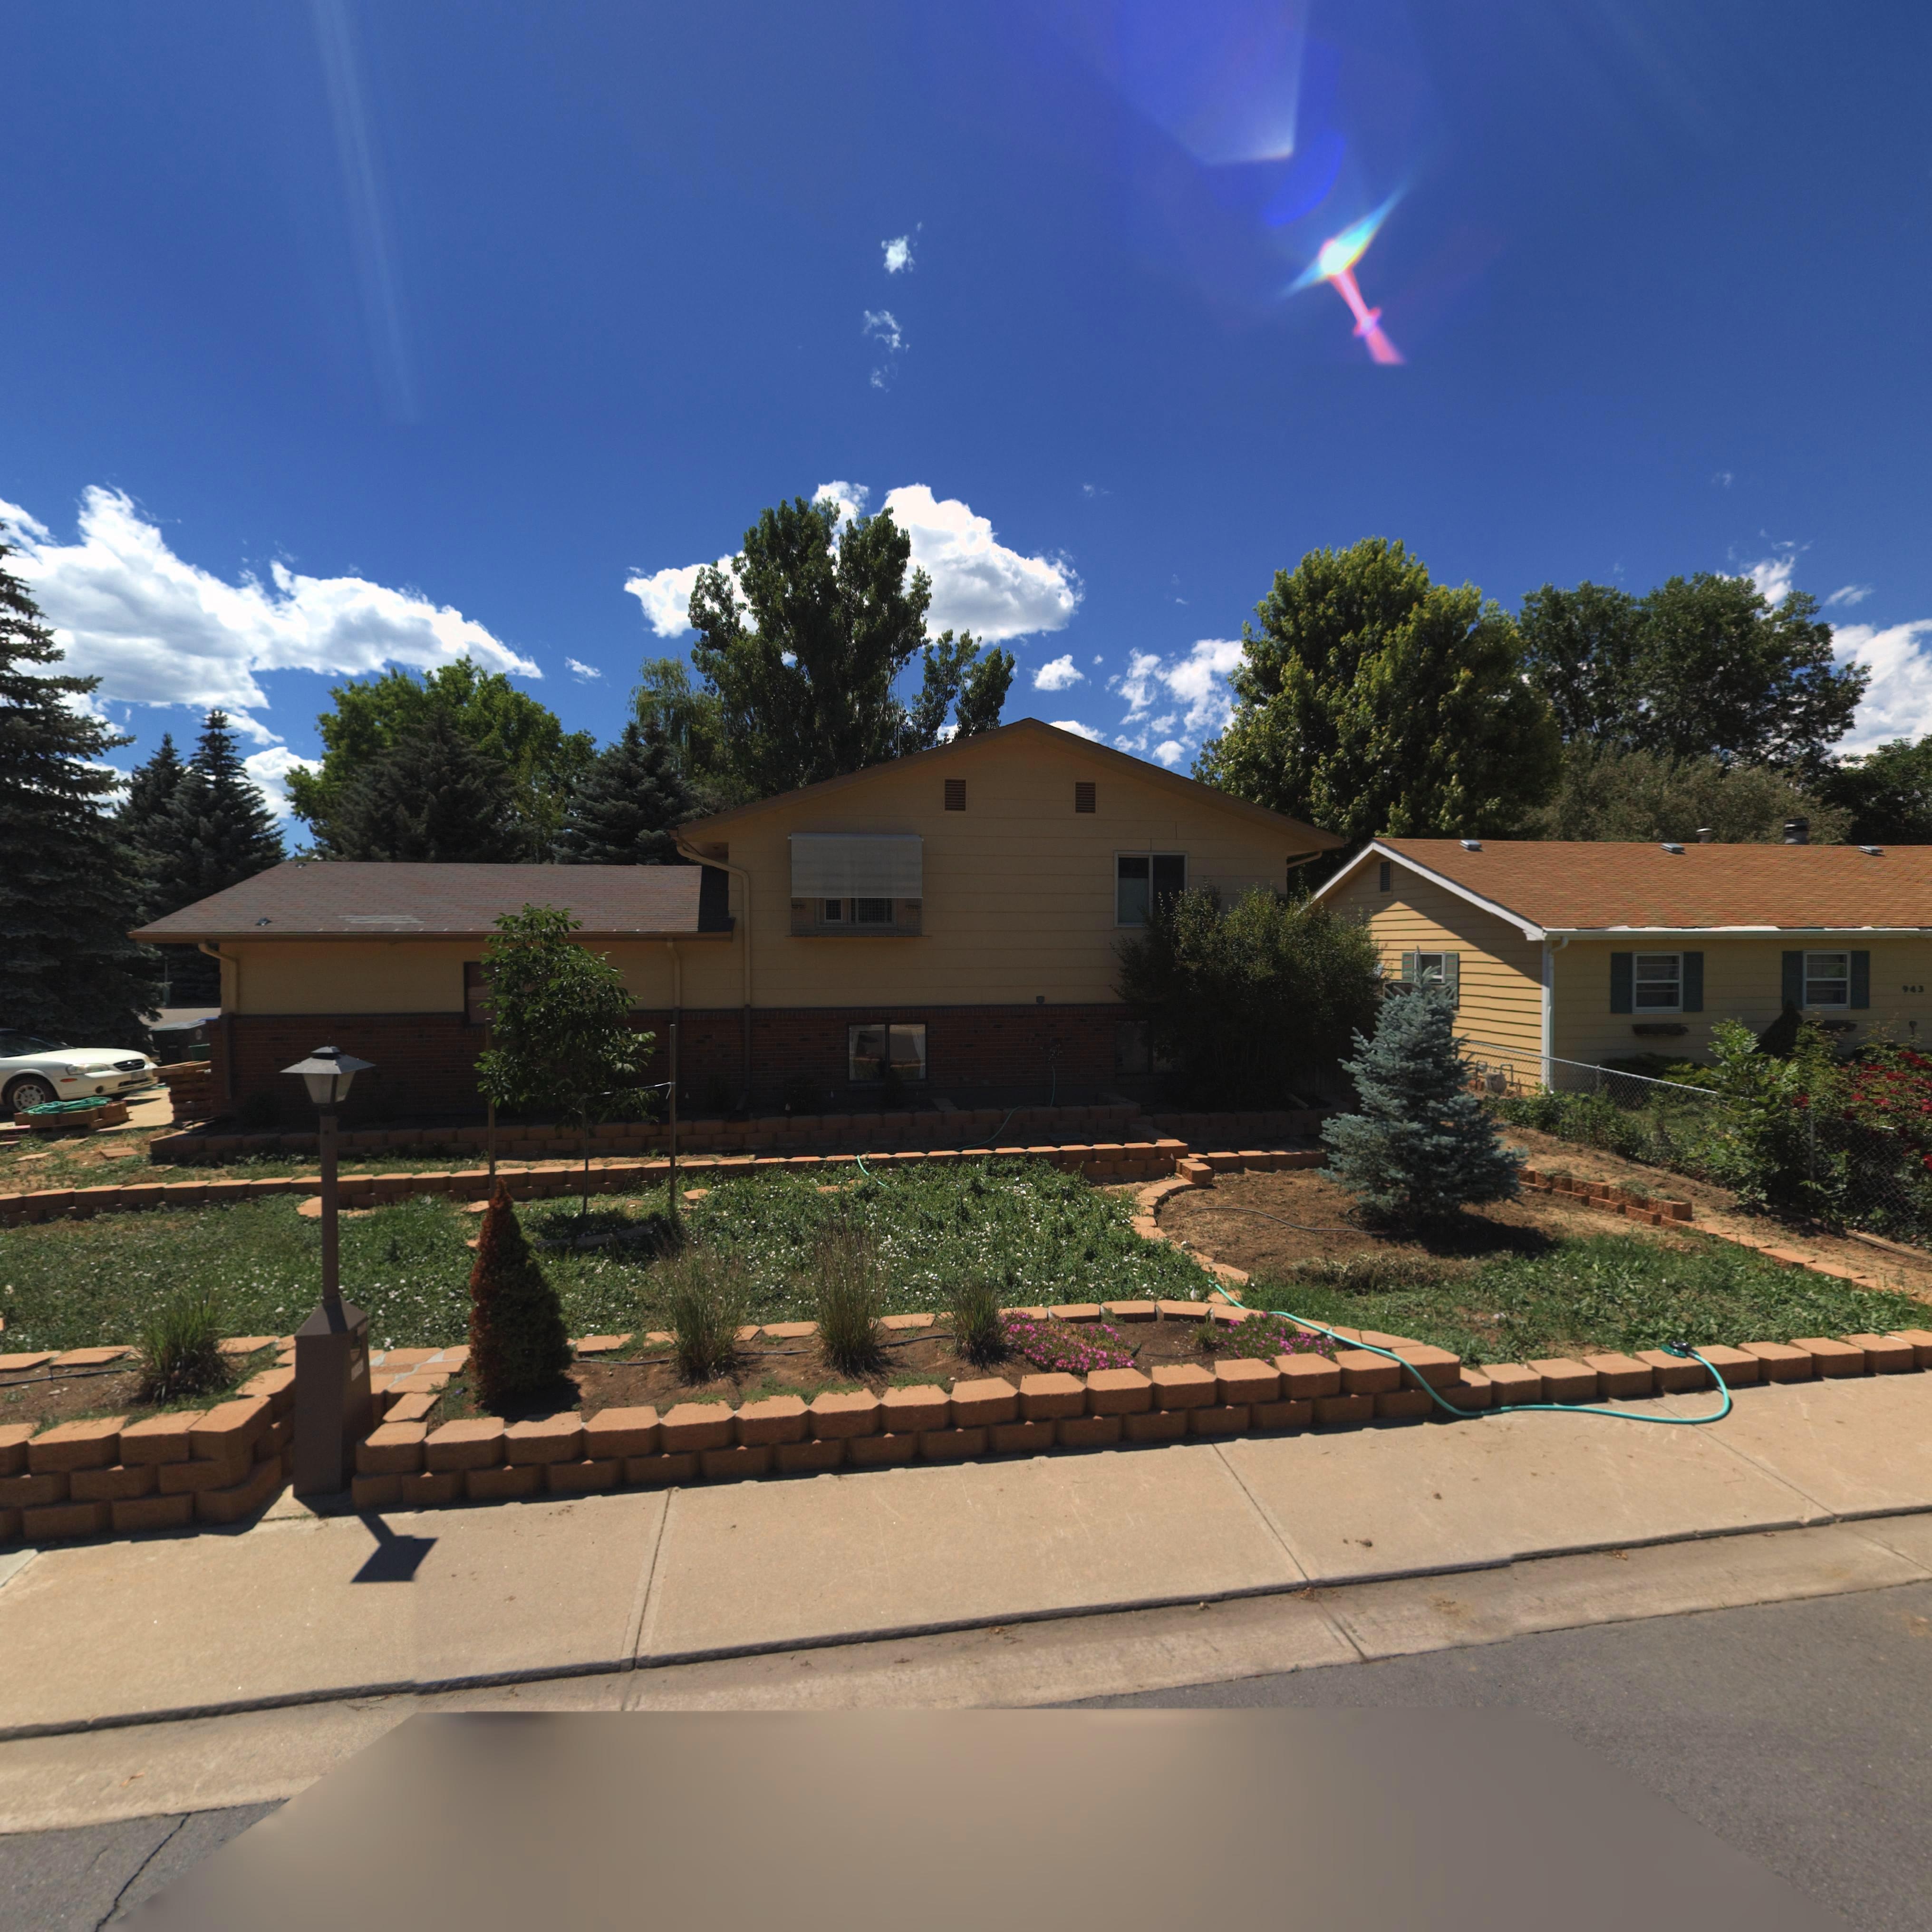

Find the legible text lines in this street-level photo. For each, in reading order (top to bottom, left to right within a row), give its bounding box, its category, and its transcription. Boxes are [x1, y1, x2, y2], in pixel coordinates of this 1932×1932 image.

[1902, 985, 1924, 993] StreetNumber: 943